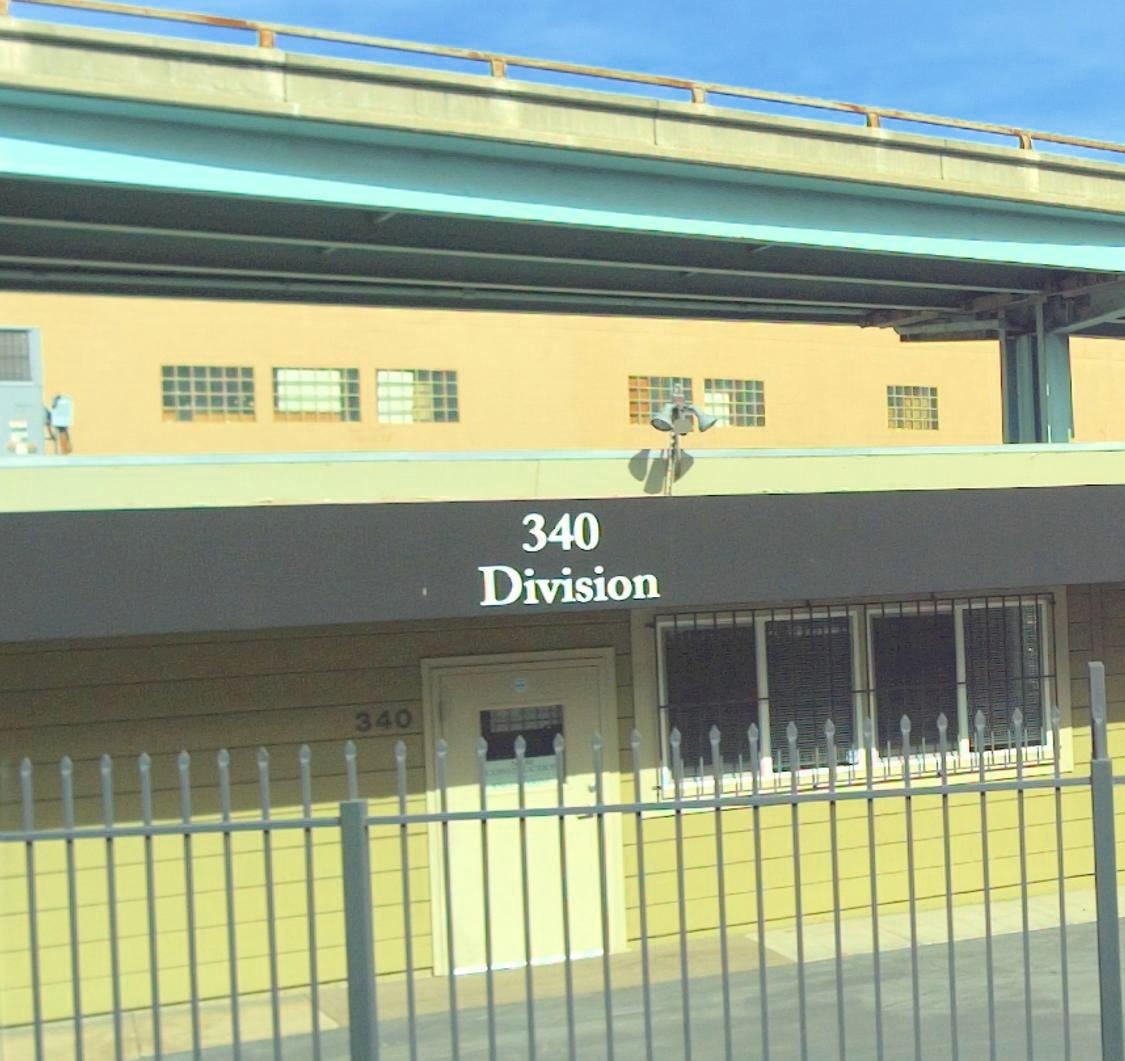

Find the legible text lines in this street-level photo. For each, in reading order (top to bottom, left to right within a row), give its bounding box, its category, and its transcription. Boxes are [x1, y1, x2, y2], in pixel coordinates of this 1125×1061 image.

[516, 506, 603, 557] StreetNumber: 340
[351, 702, 417, 737] None: 340